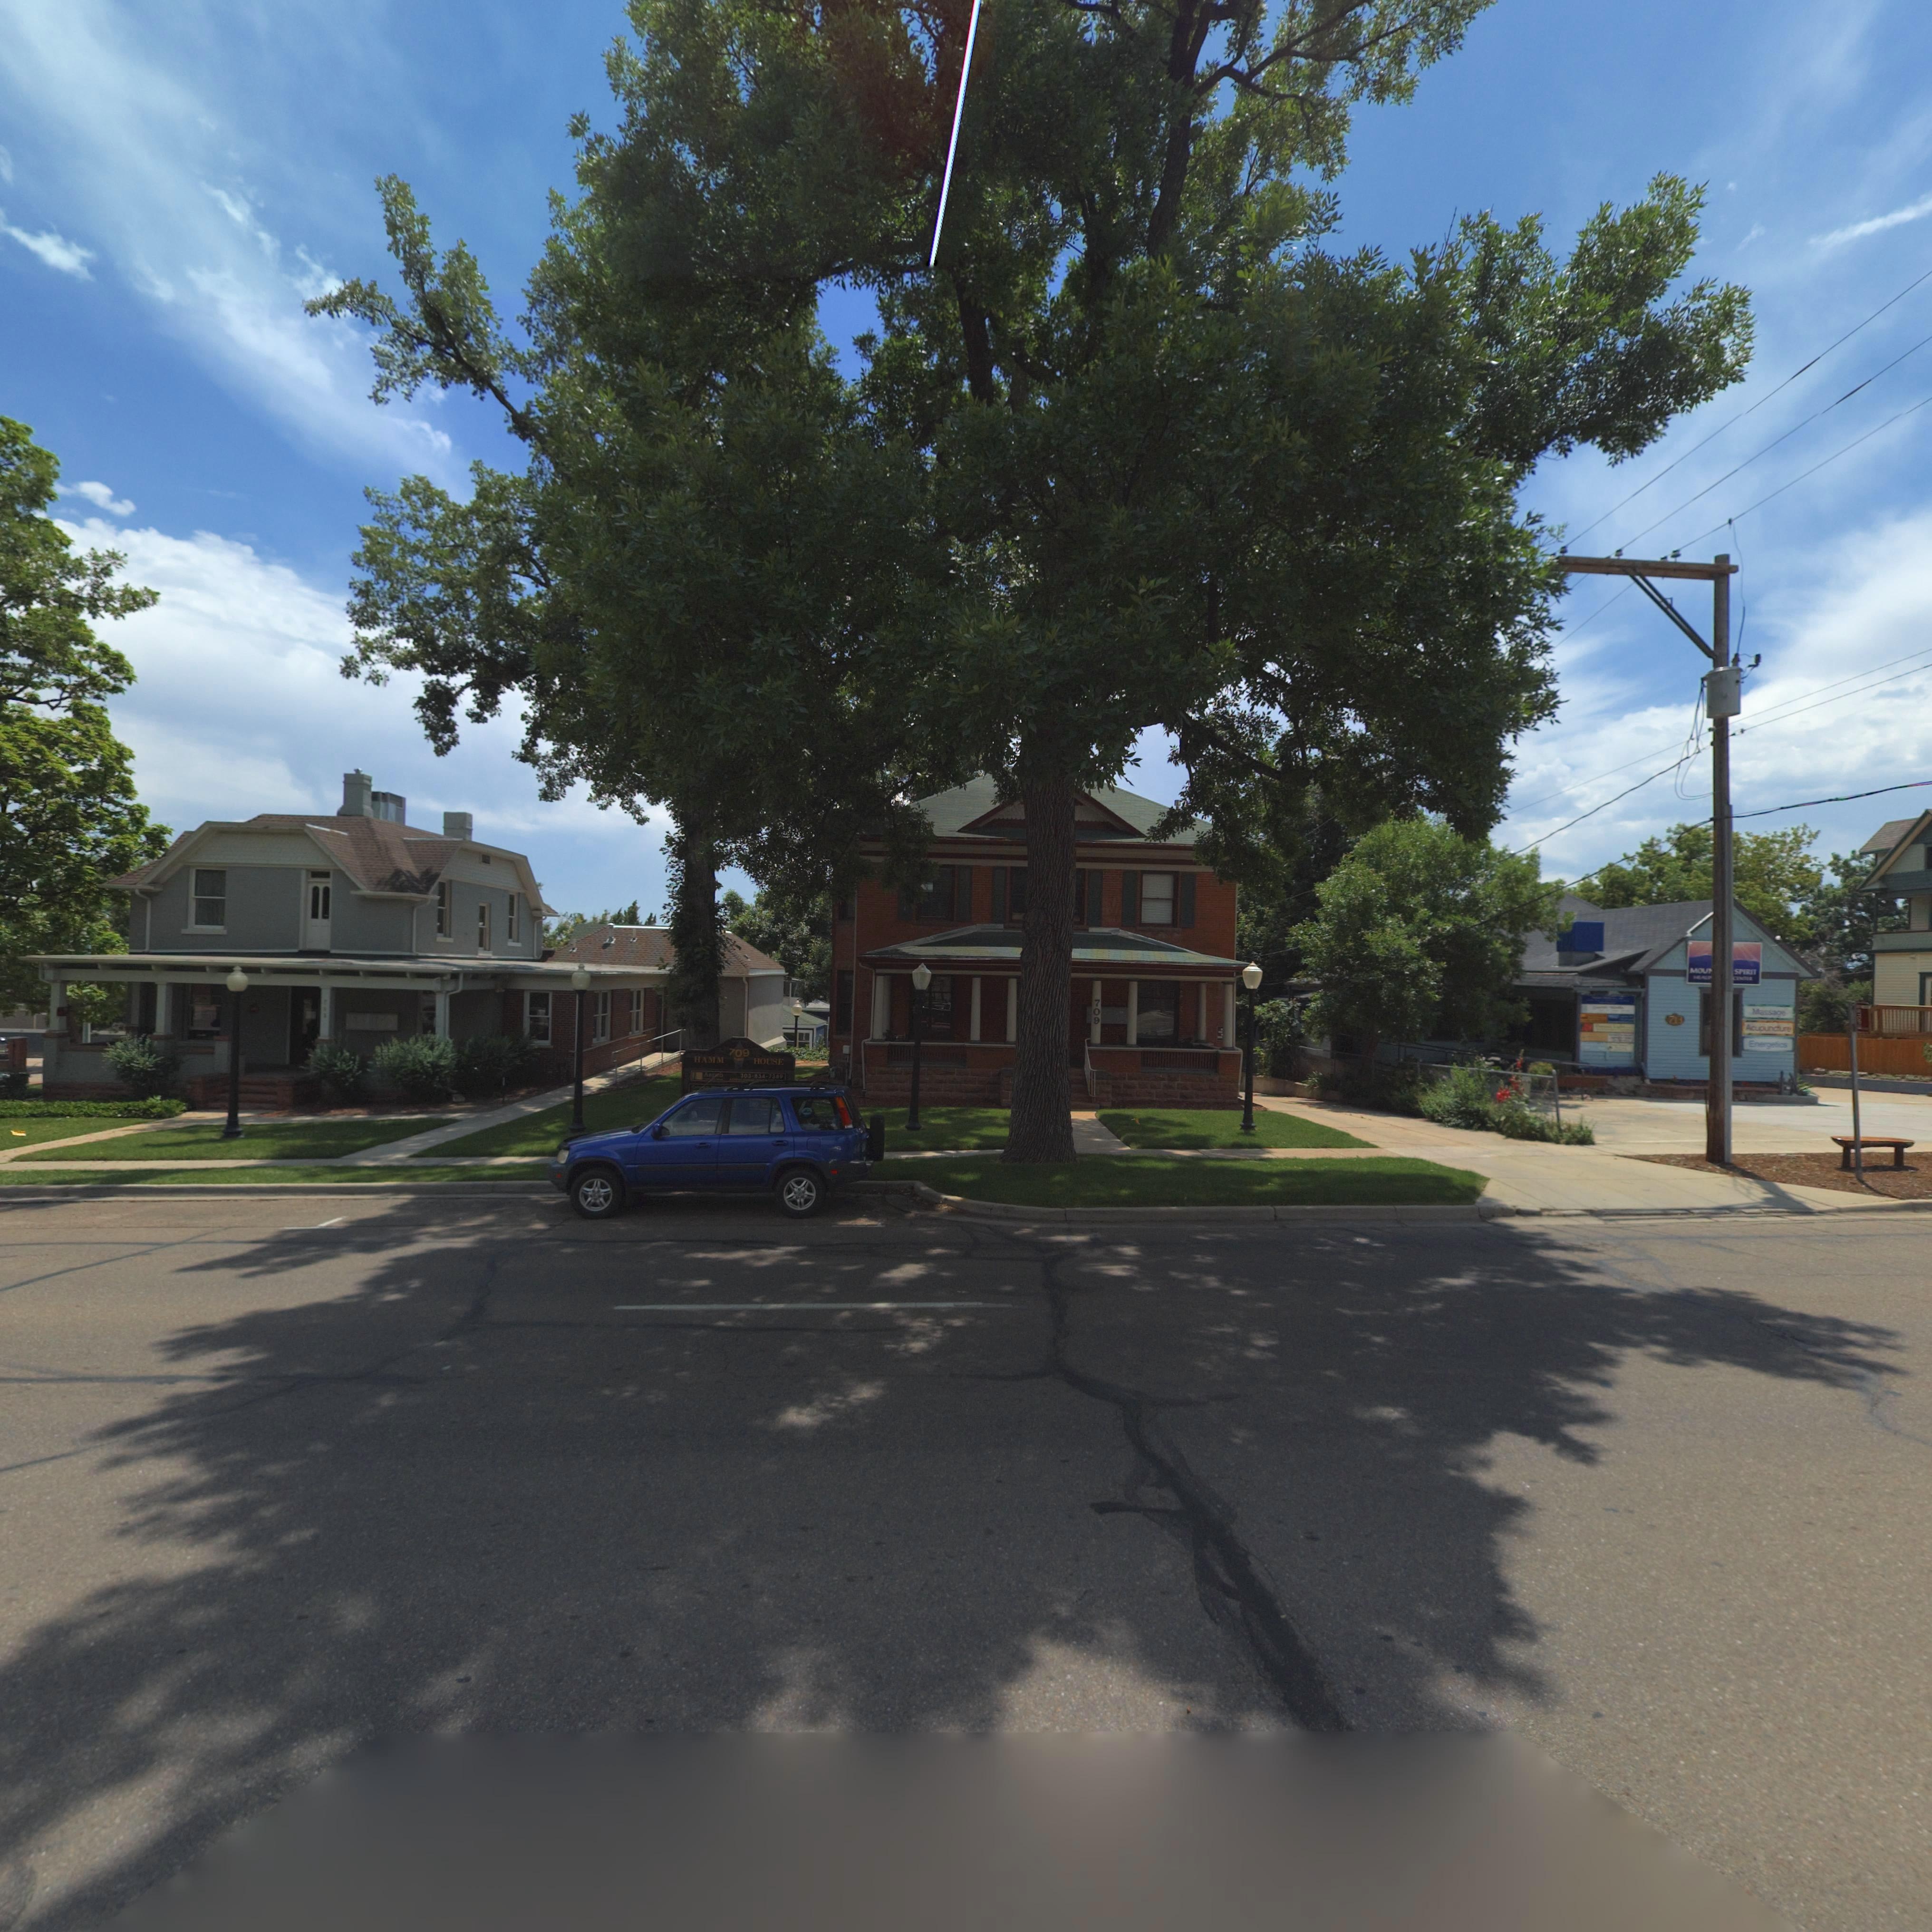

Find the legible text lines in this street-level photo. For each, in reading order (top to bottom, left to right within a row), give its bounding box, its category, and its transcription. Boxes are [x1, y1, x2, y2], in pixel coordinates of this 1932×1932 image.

[1690, 967, 1757, 975] BusinessName: MOU***** SPIRIT
[1692, 975, 1753, 981] BusinessName: HEA**** CENTER
[1093, 998, 1100, 1025] StreetNumber: 709
[1668, 1015, 1683, 1024] StreetNumber: 713
[729, 1048, 750, 1058] StreetNumber: 709
[704, 1072, 724, 1079] BusinessName: Aspen
[691, 1084, 711, 1089] BusinessName: C*******